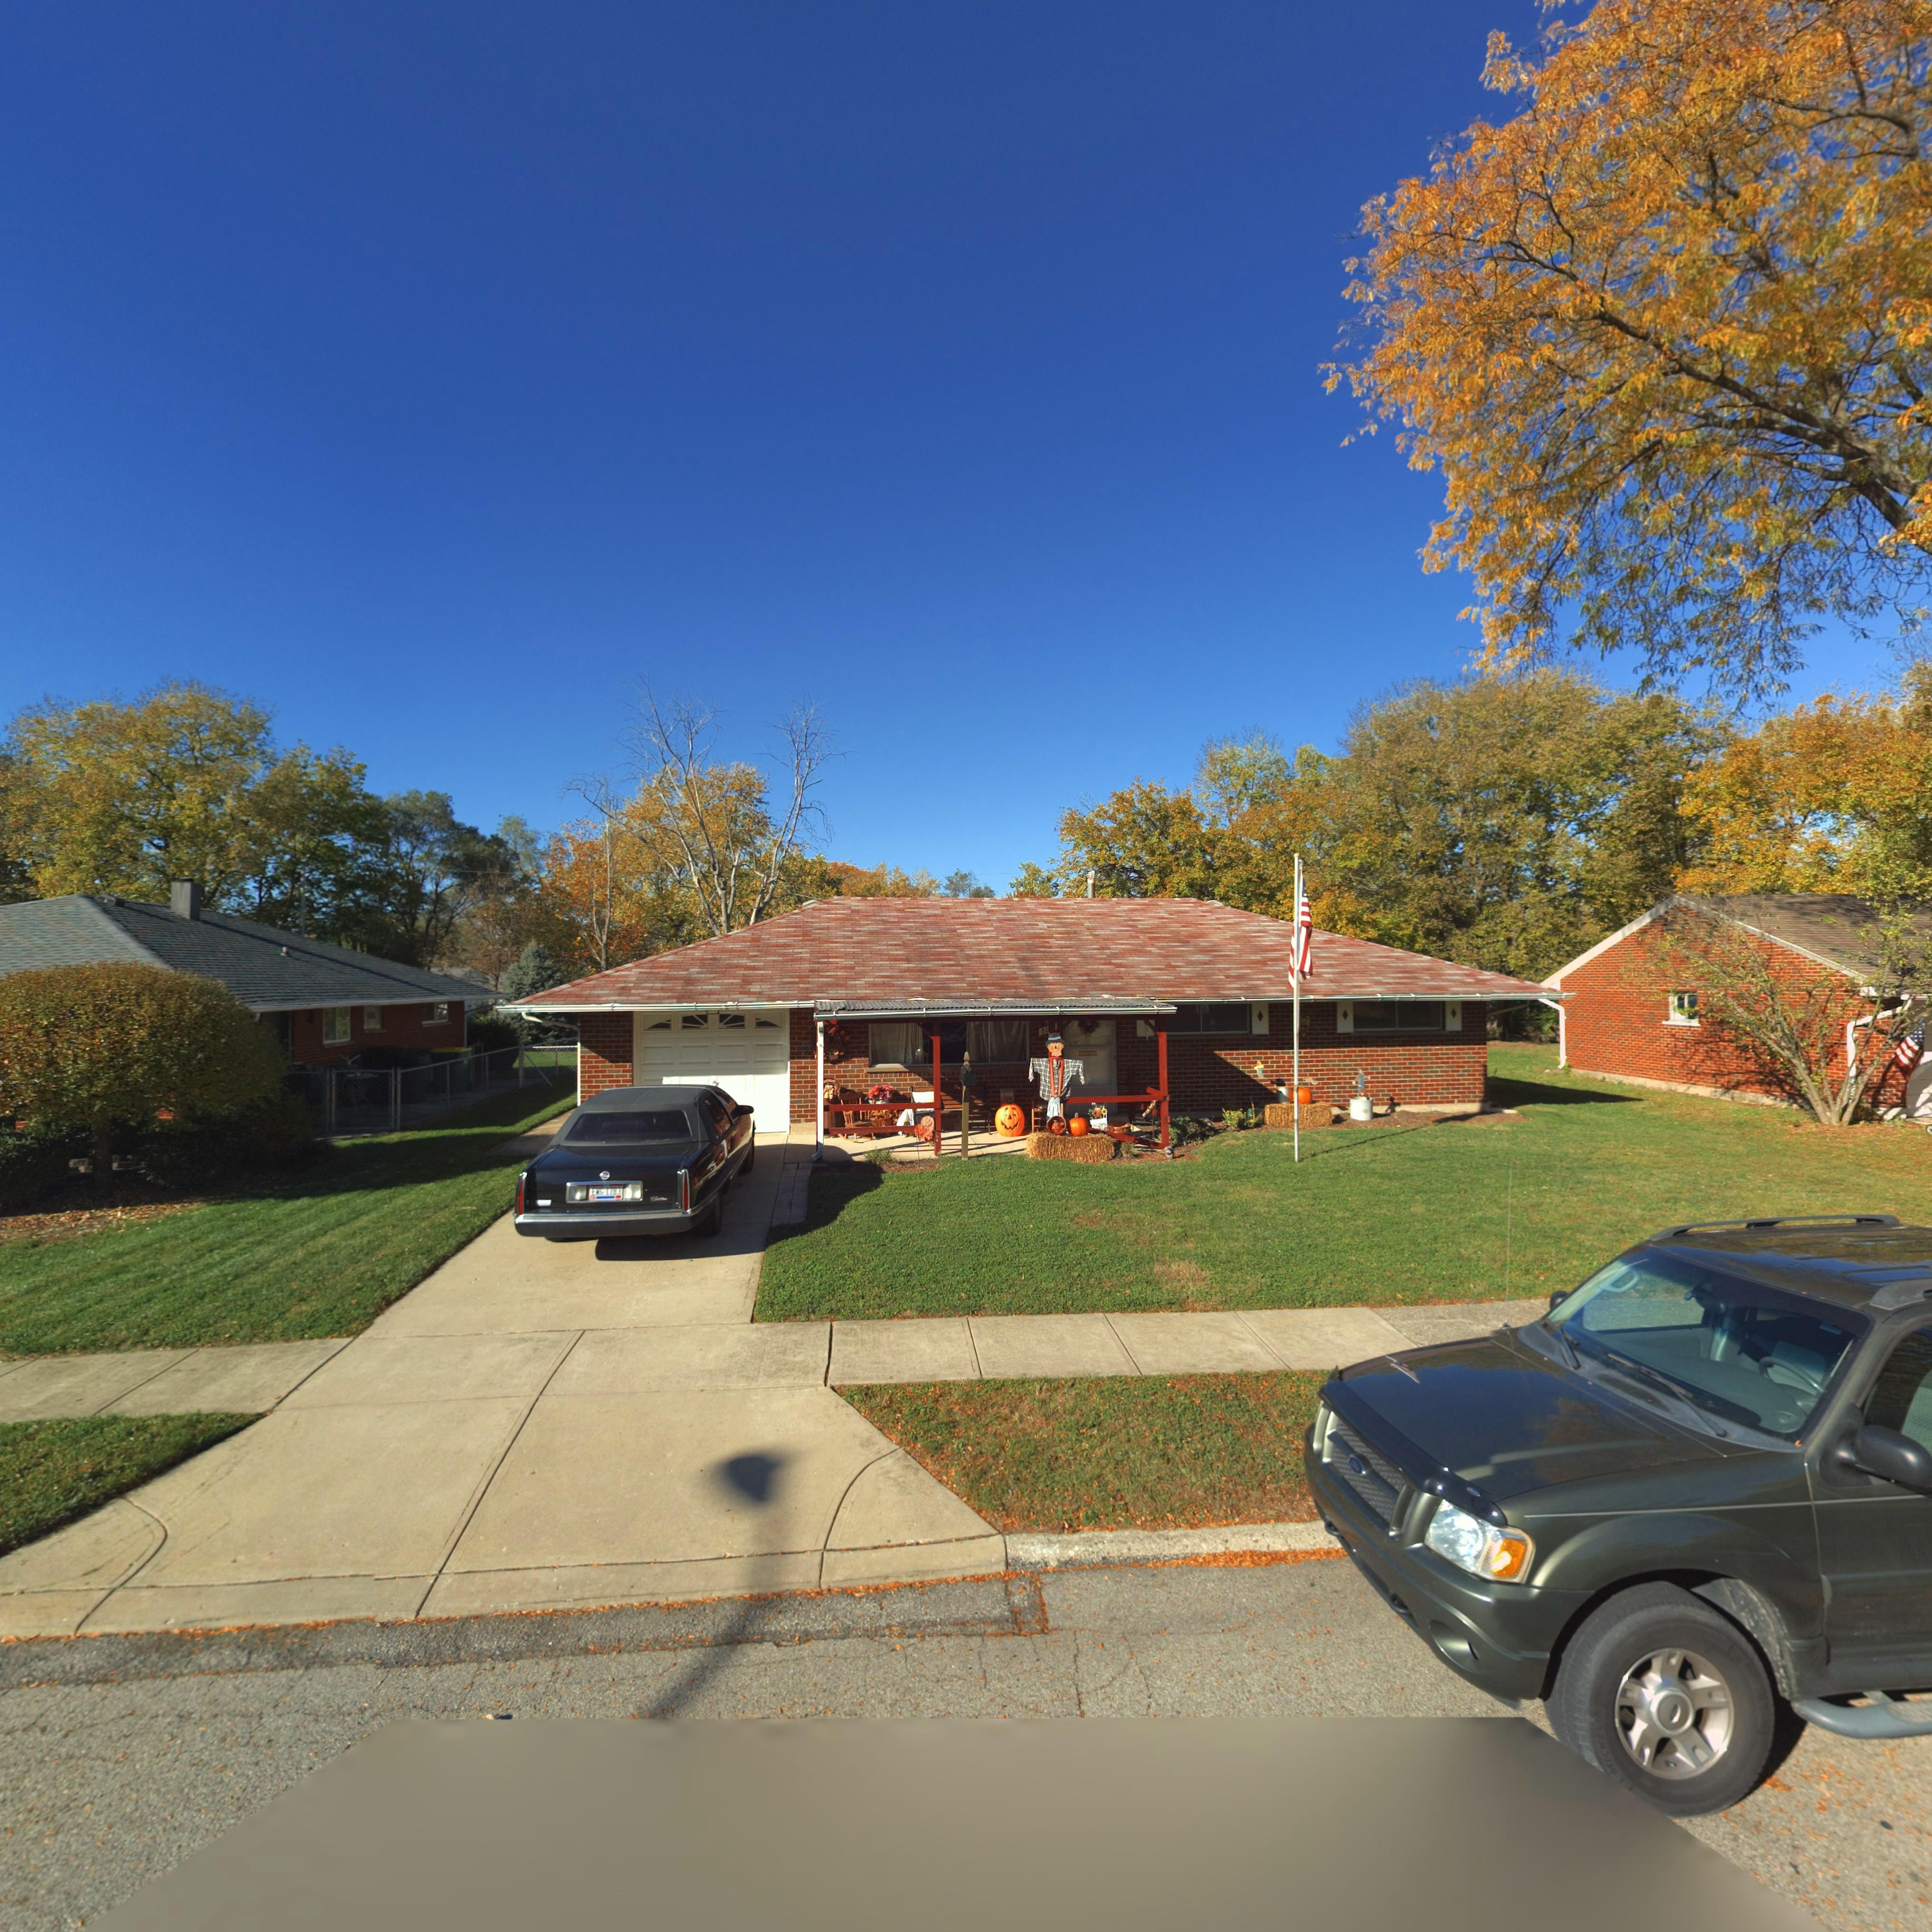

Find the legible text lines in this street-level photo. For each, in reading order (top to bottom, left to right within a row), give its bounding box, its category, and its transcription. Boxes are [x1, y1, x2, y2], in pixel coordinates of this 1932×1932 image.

[1039, 1026, 1048, 1035] StreetNumber: 51